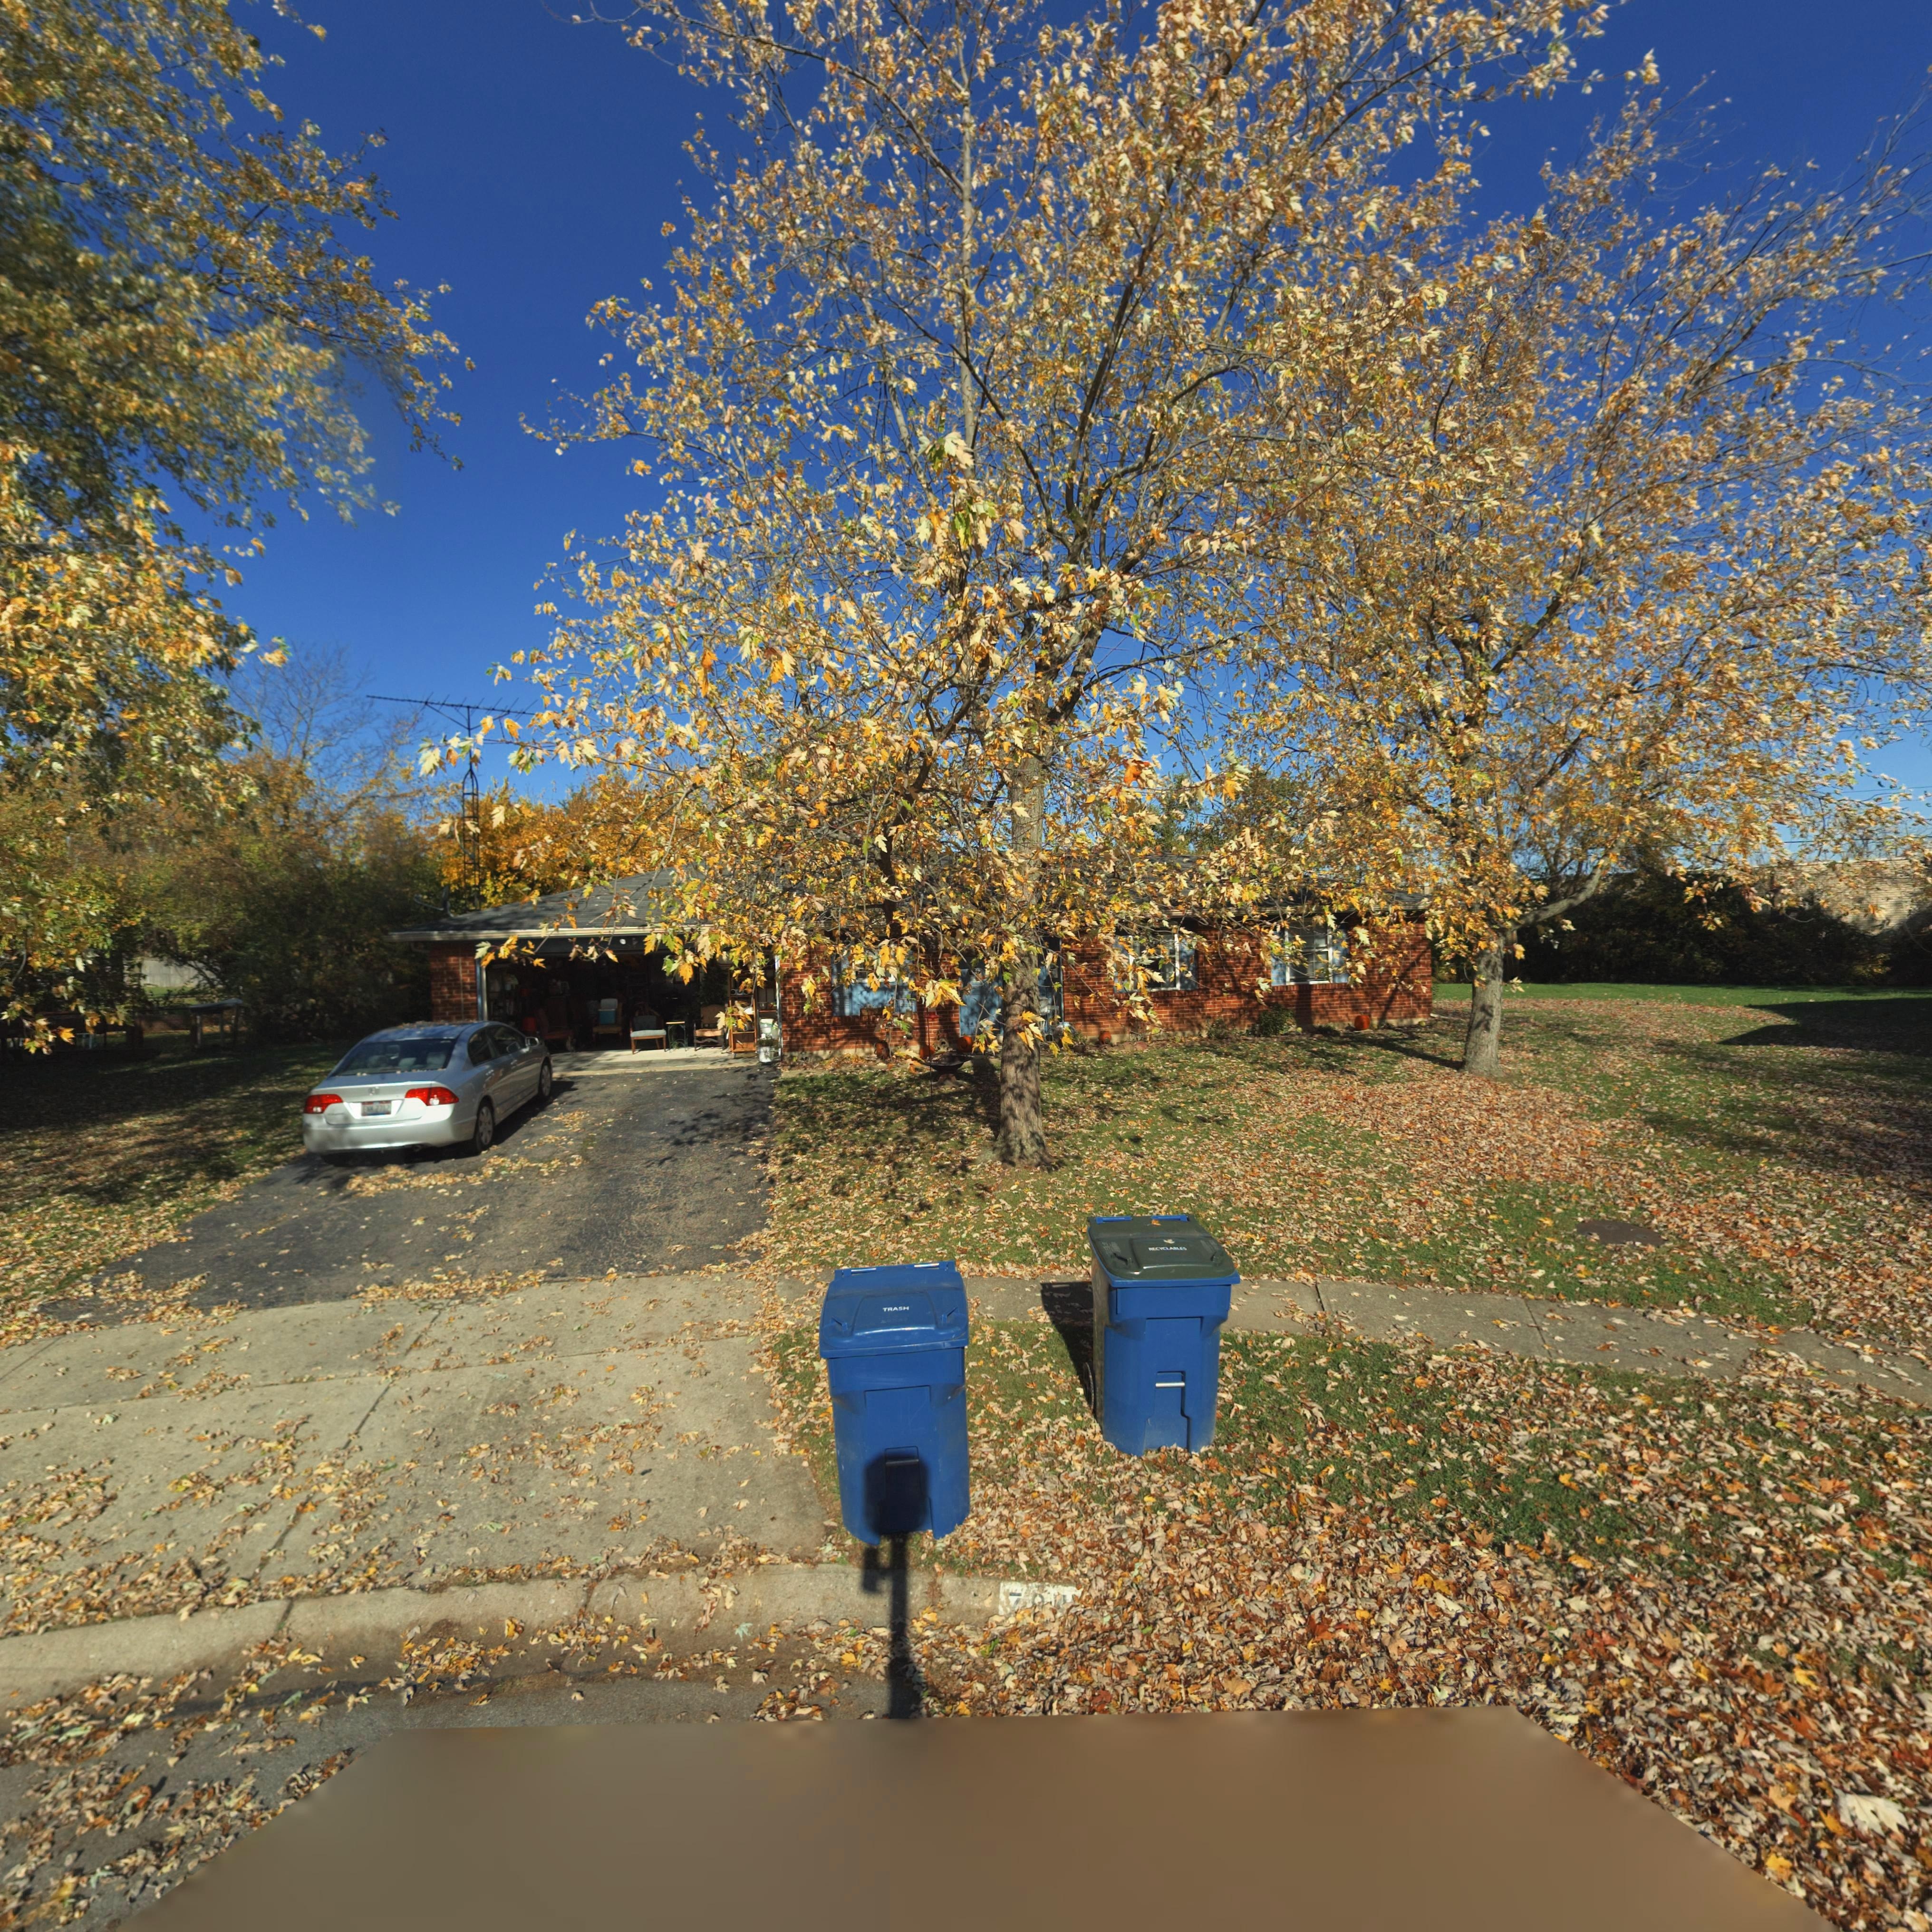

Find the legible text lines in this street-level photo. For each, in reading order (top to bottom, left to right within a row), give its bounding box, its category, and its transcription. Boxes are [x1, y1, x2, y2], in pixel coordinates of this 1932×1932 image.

[1008, 1590, 1024, 1613] StreetNumber: 7